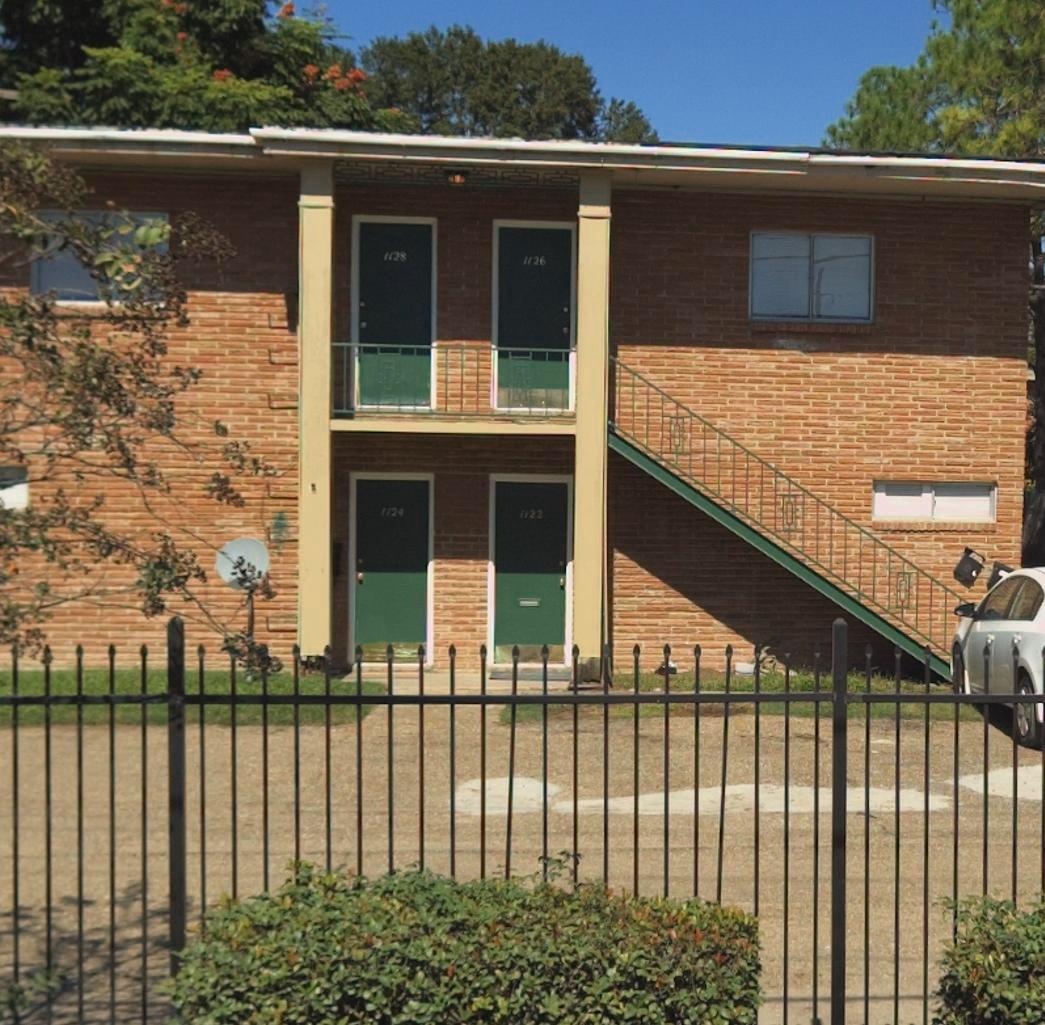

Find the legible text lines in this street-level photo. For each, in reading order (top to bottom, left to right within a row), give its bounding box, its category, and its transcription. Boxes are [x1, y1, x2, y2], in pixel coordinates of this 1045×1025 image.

[383, 251, 407, 262] StreetNumber: 1128
[522, 255, 546, 266] StreetNumber: 1126
[380, 506, 406, 518] StreetNumber: 1124
[518, 508, 543, 520] StreetNumber: 1122